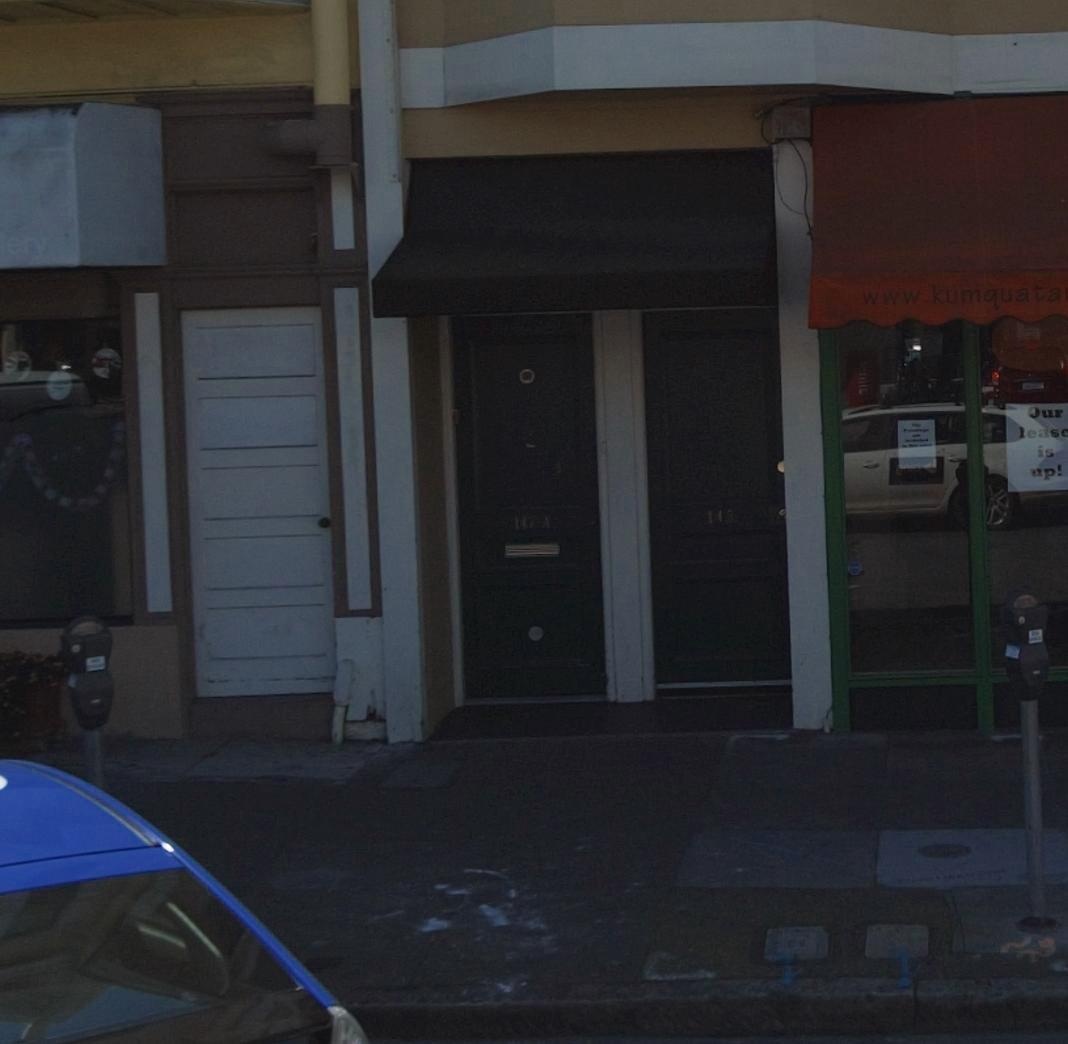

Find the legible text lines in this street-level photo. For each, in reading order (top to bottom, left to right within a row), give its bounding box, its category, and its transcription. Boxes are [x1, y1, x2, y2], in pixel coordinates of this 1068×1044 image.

[858, 281, 1062, 312] None: www.kumquata
[1026, 405, 1065, 420] None: Our
[1017, 424, 1067, 439] None: lease
[1037, 443, 1055, 458] None: is
[1030, 463, 1064, 481] None: up!
[510, 514, 552, 534] StreetNumber: 147-A
[701, 506, 736, 525] StreetNumber: 14*